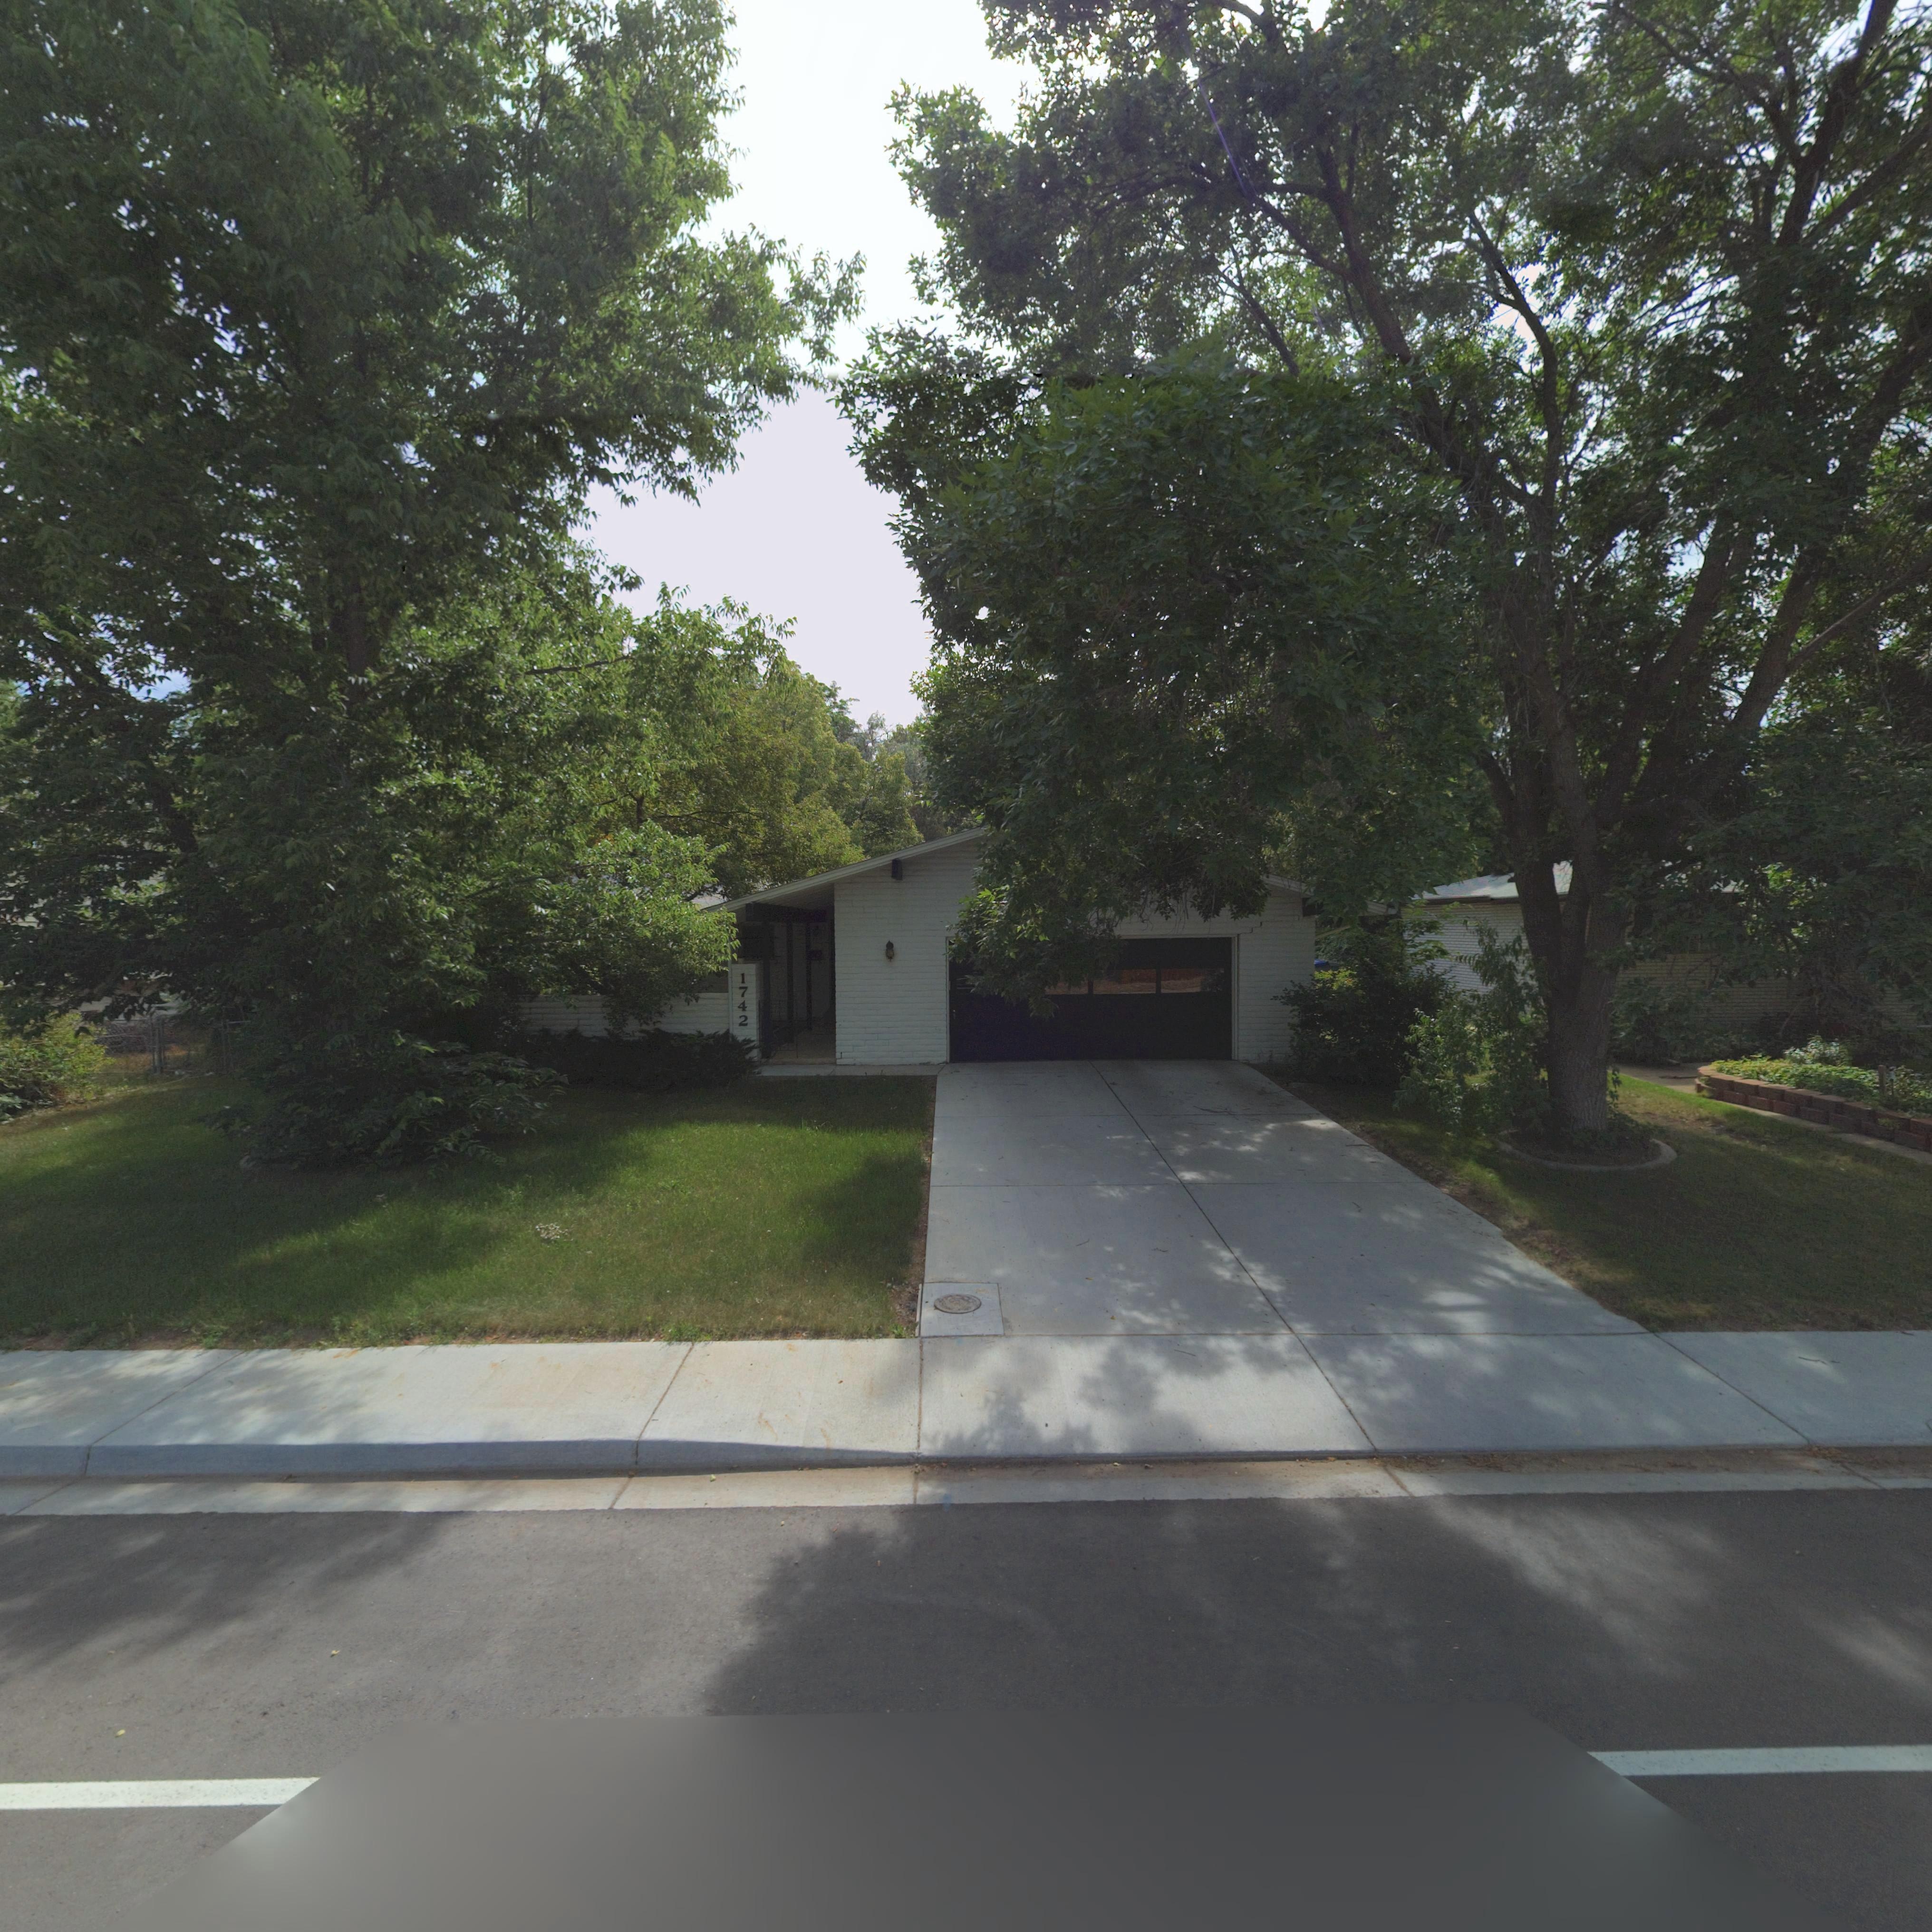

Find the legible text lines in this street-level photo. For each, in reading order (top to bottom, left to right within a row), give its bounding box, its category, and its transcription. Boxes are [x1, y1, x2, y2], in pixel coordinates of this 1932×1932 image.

[736, 972, 748, 1027] StreetNumber: 1742